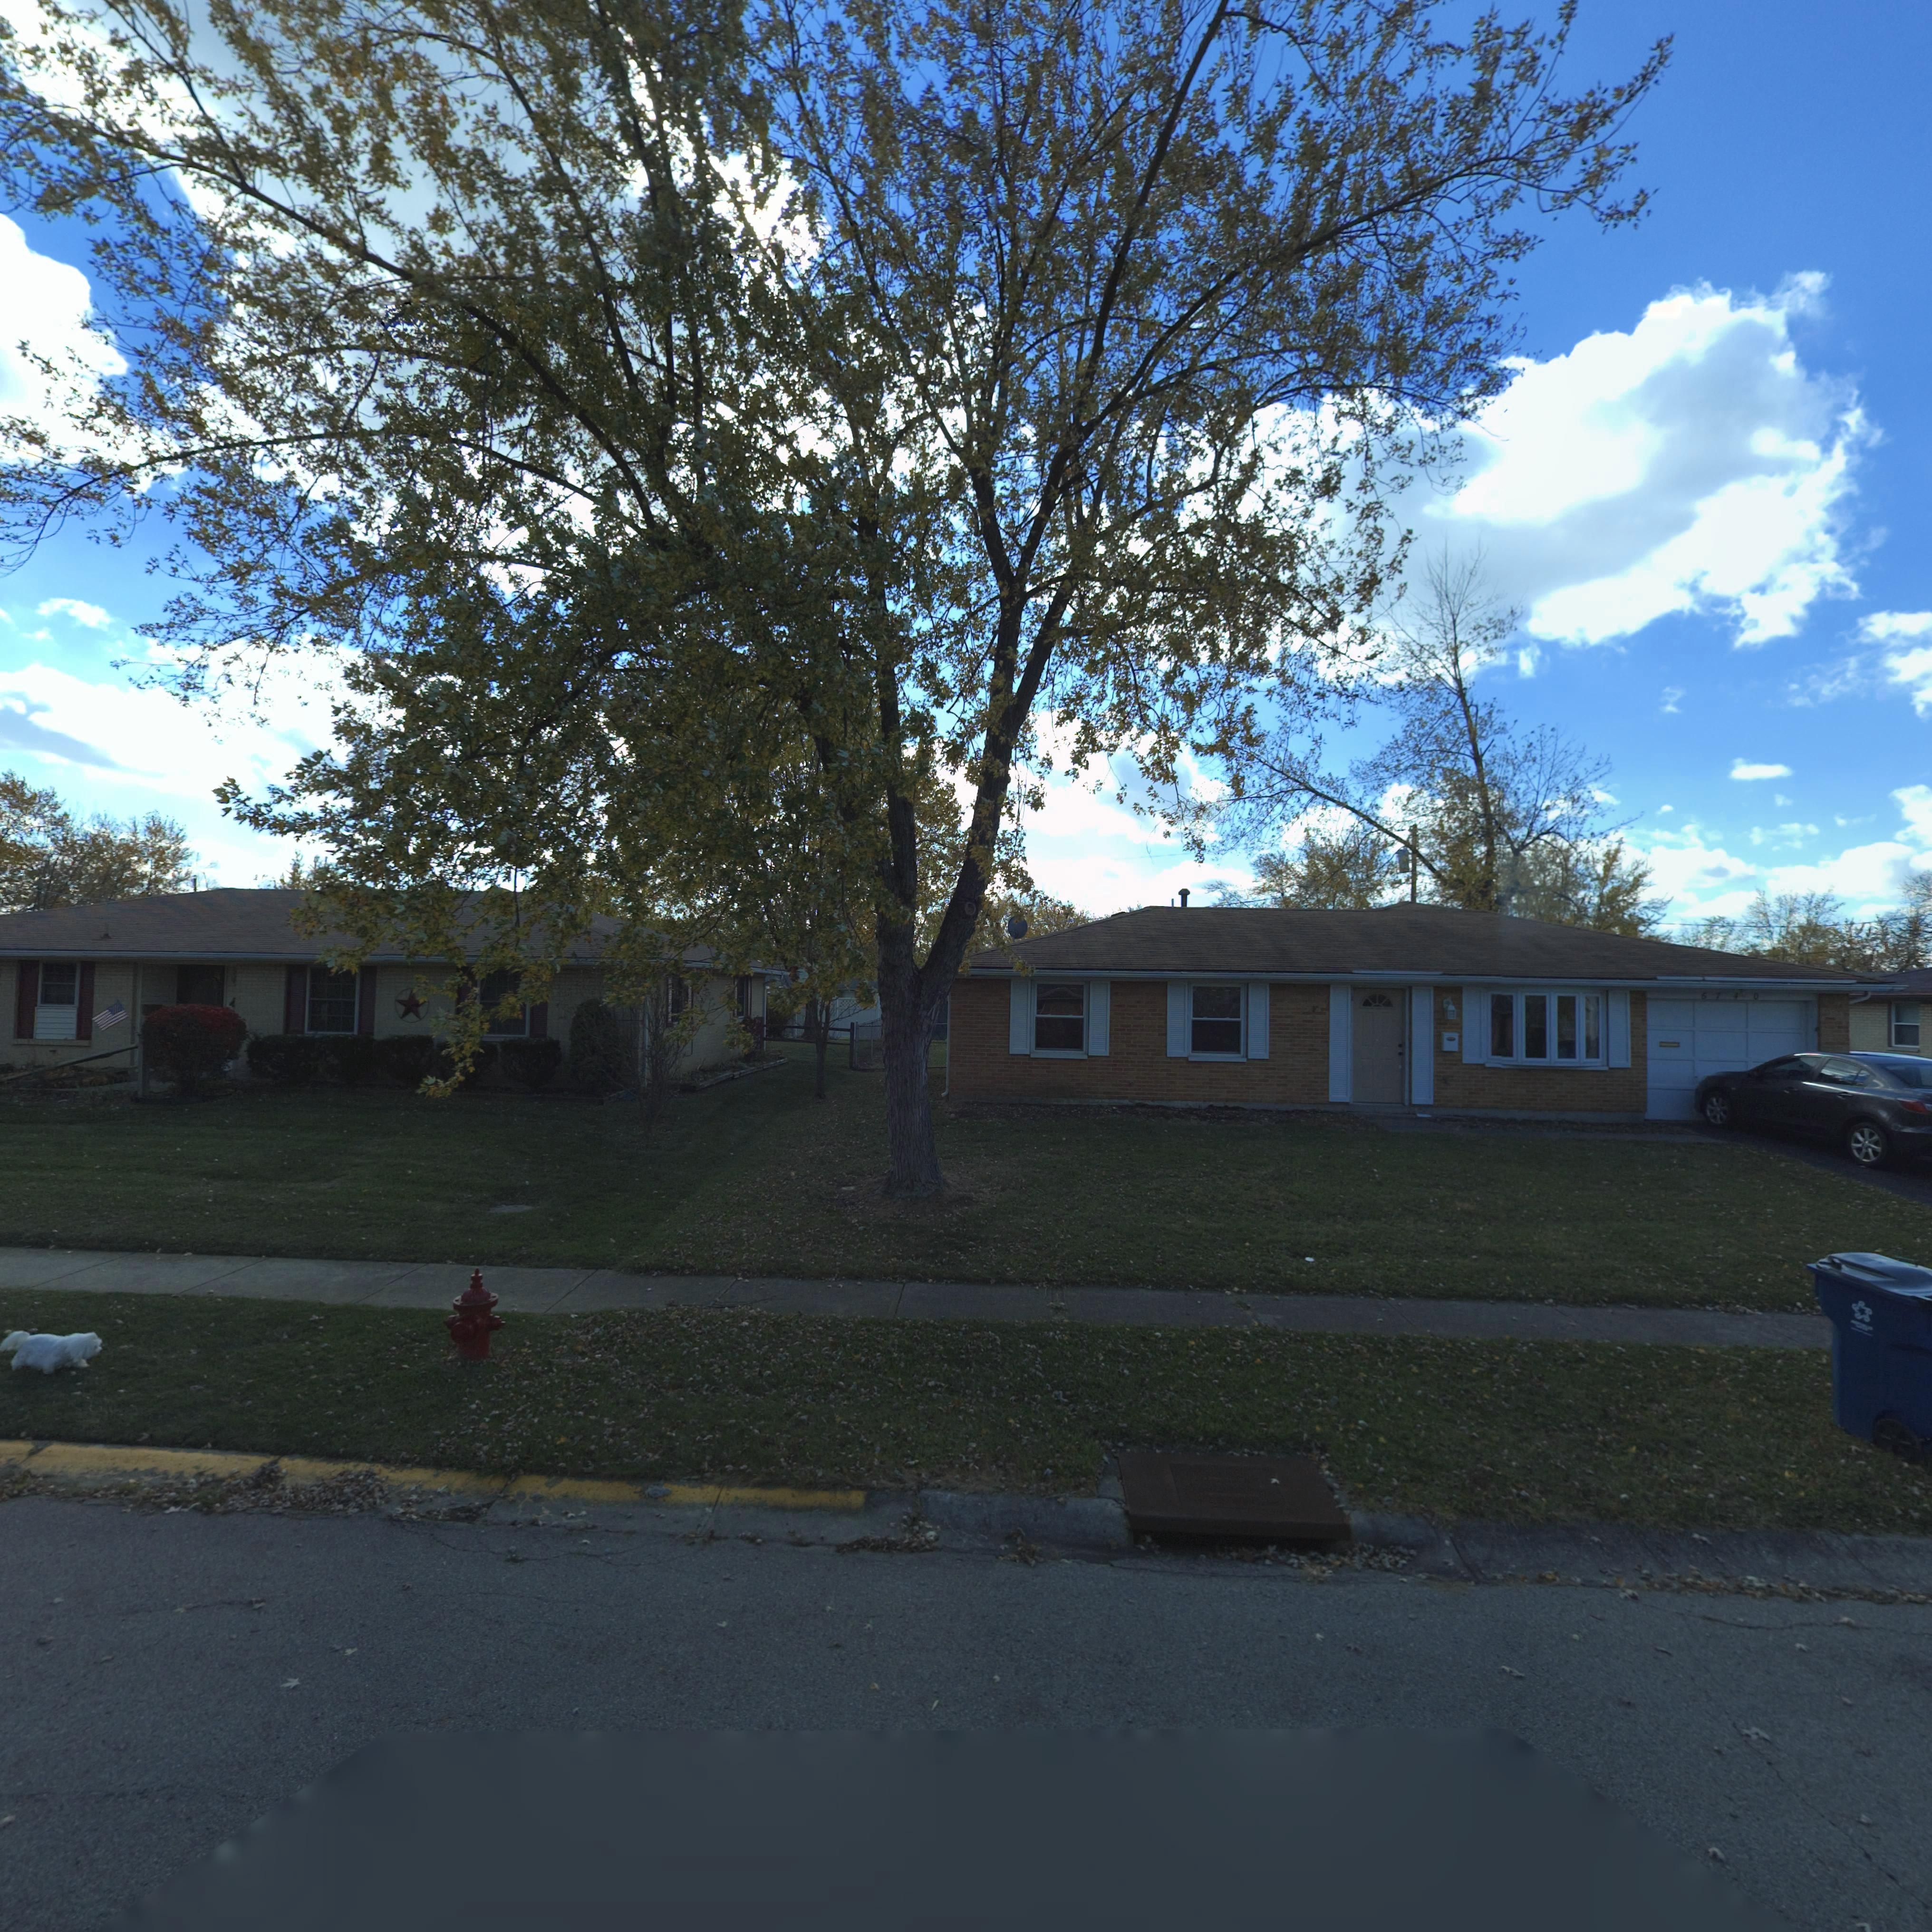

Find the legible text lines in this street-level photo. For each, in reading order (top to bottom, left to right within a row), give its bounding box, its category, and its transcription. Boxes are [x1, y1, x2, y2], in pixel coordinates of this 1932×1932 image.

[1700, 991, 1760, 1000] StreetNumber: 6740